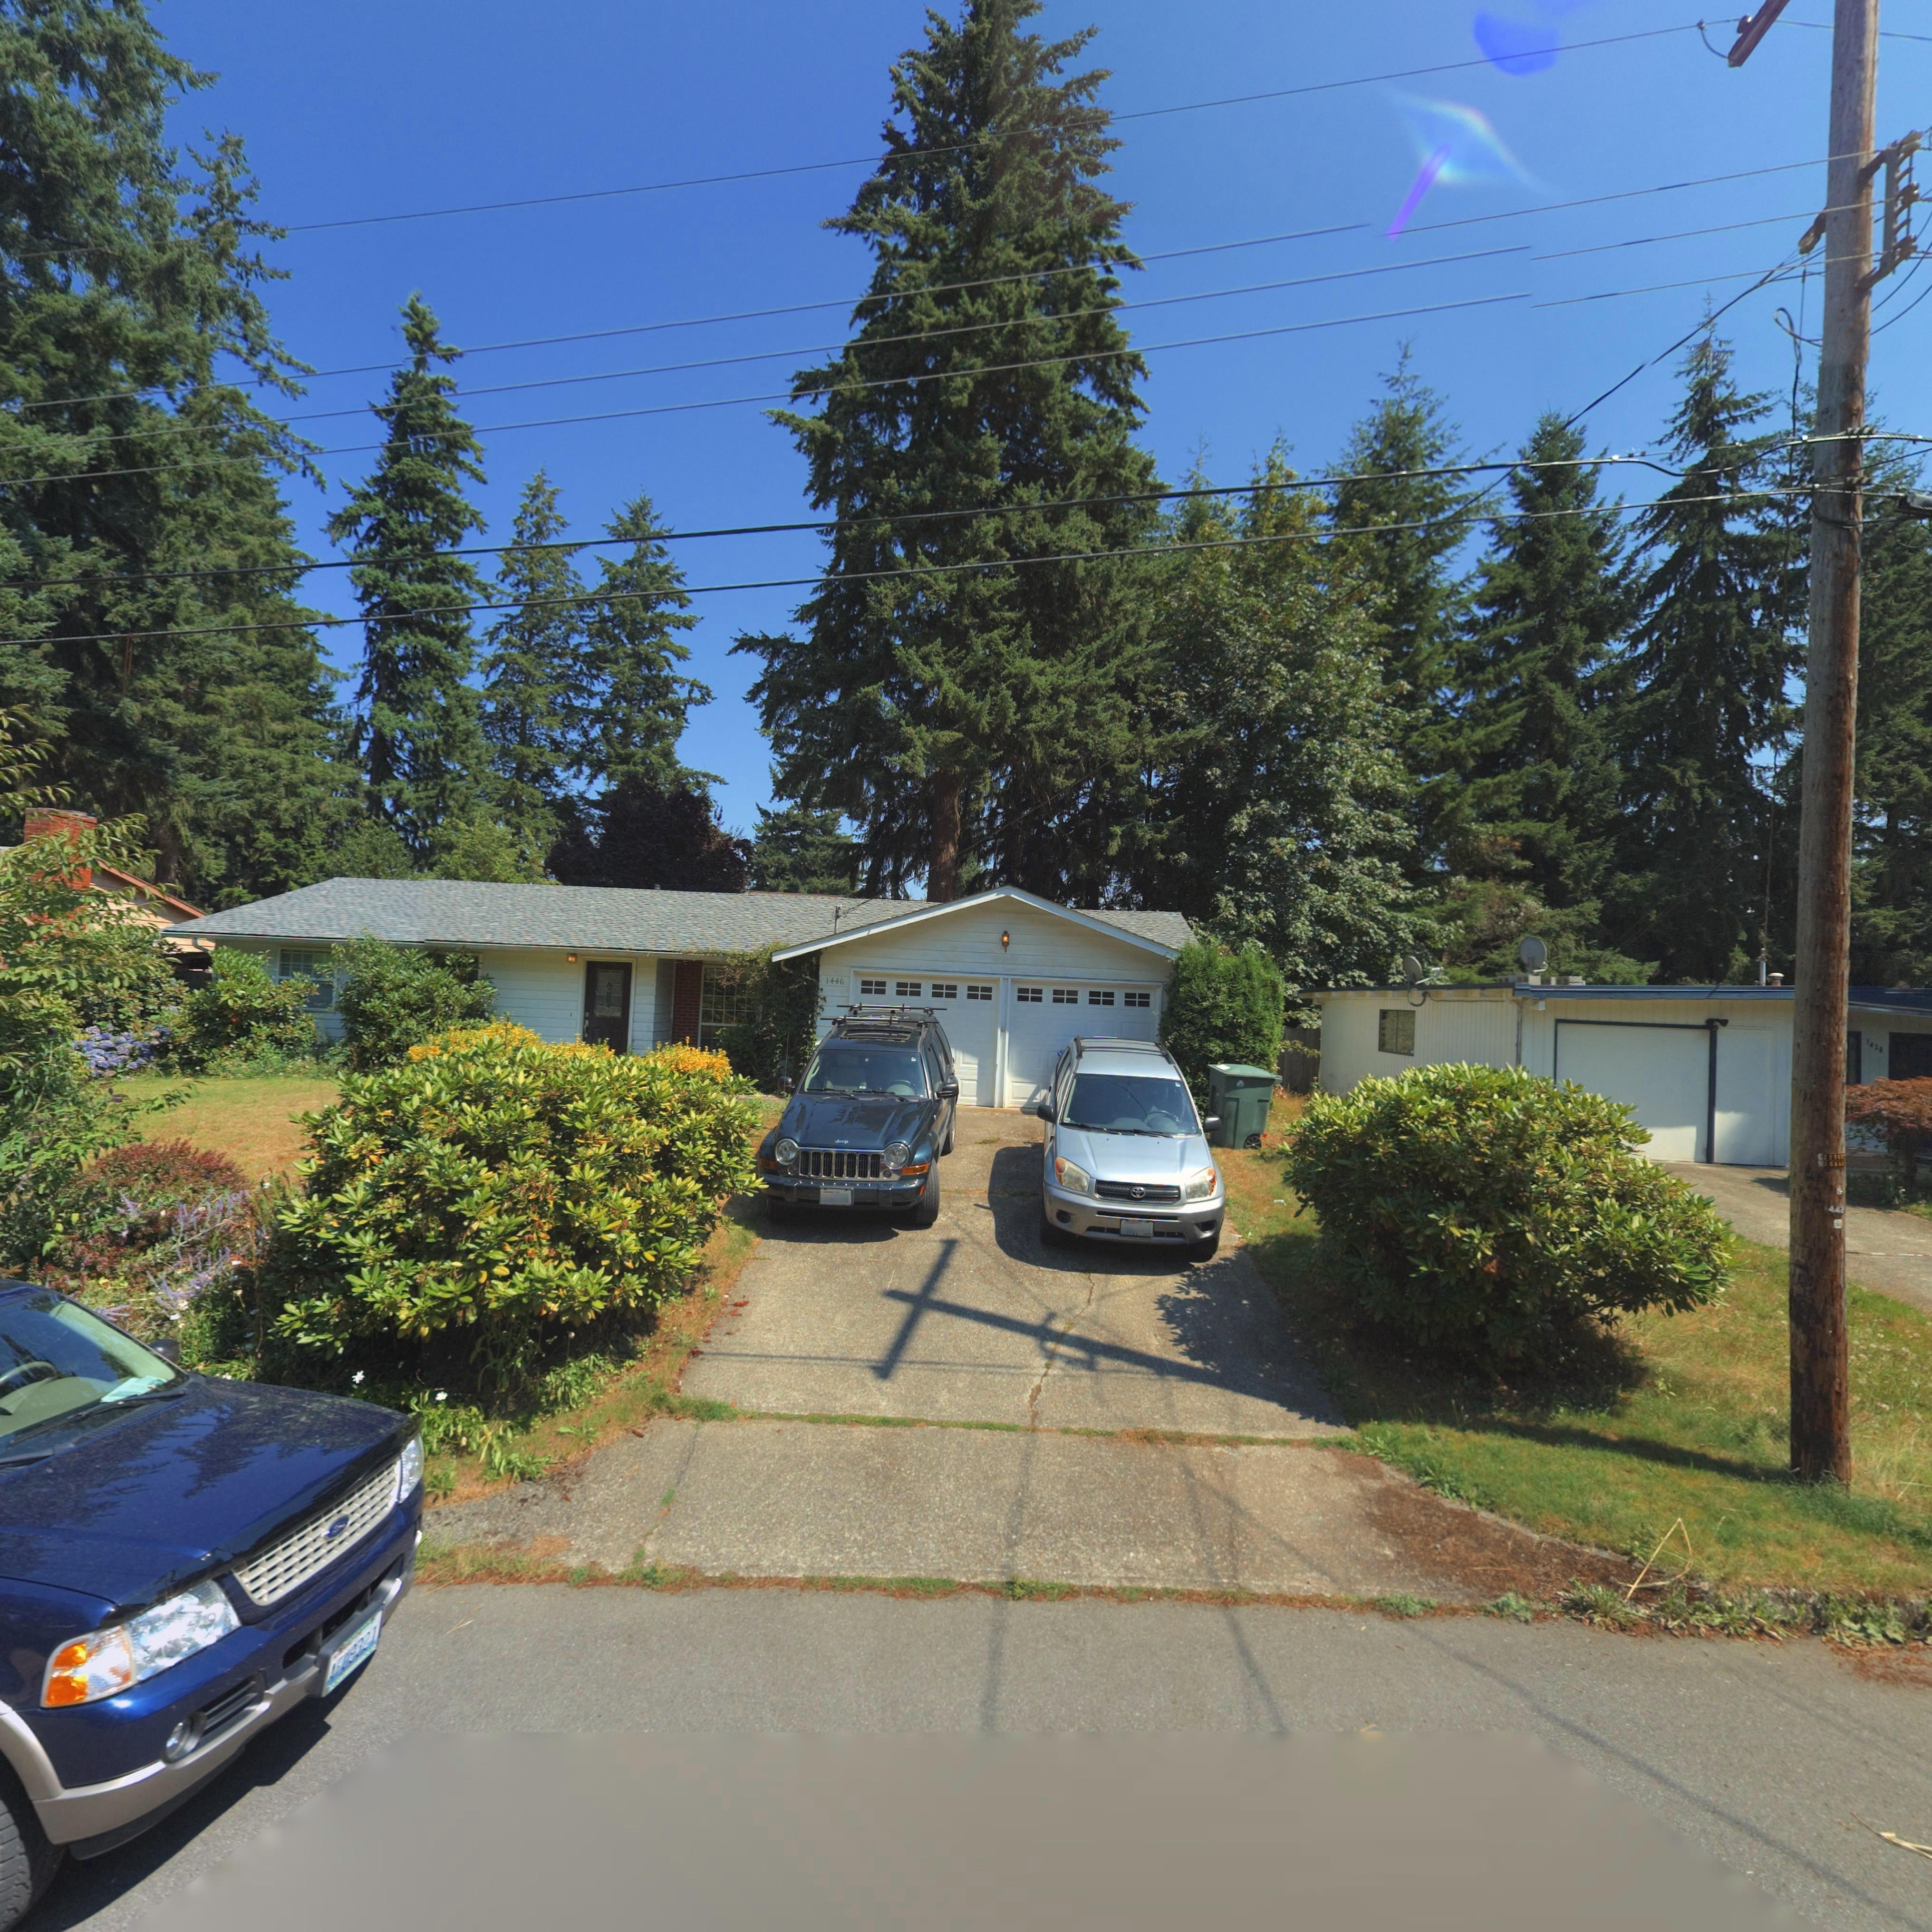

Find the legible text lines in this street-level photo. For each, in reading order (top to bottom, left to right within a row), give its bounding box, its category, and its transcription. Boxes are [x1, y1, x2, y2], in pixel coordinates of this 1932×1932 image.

[825, 976, 844, 984] StreetNumber: 1446